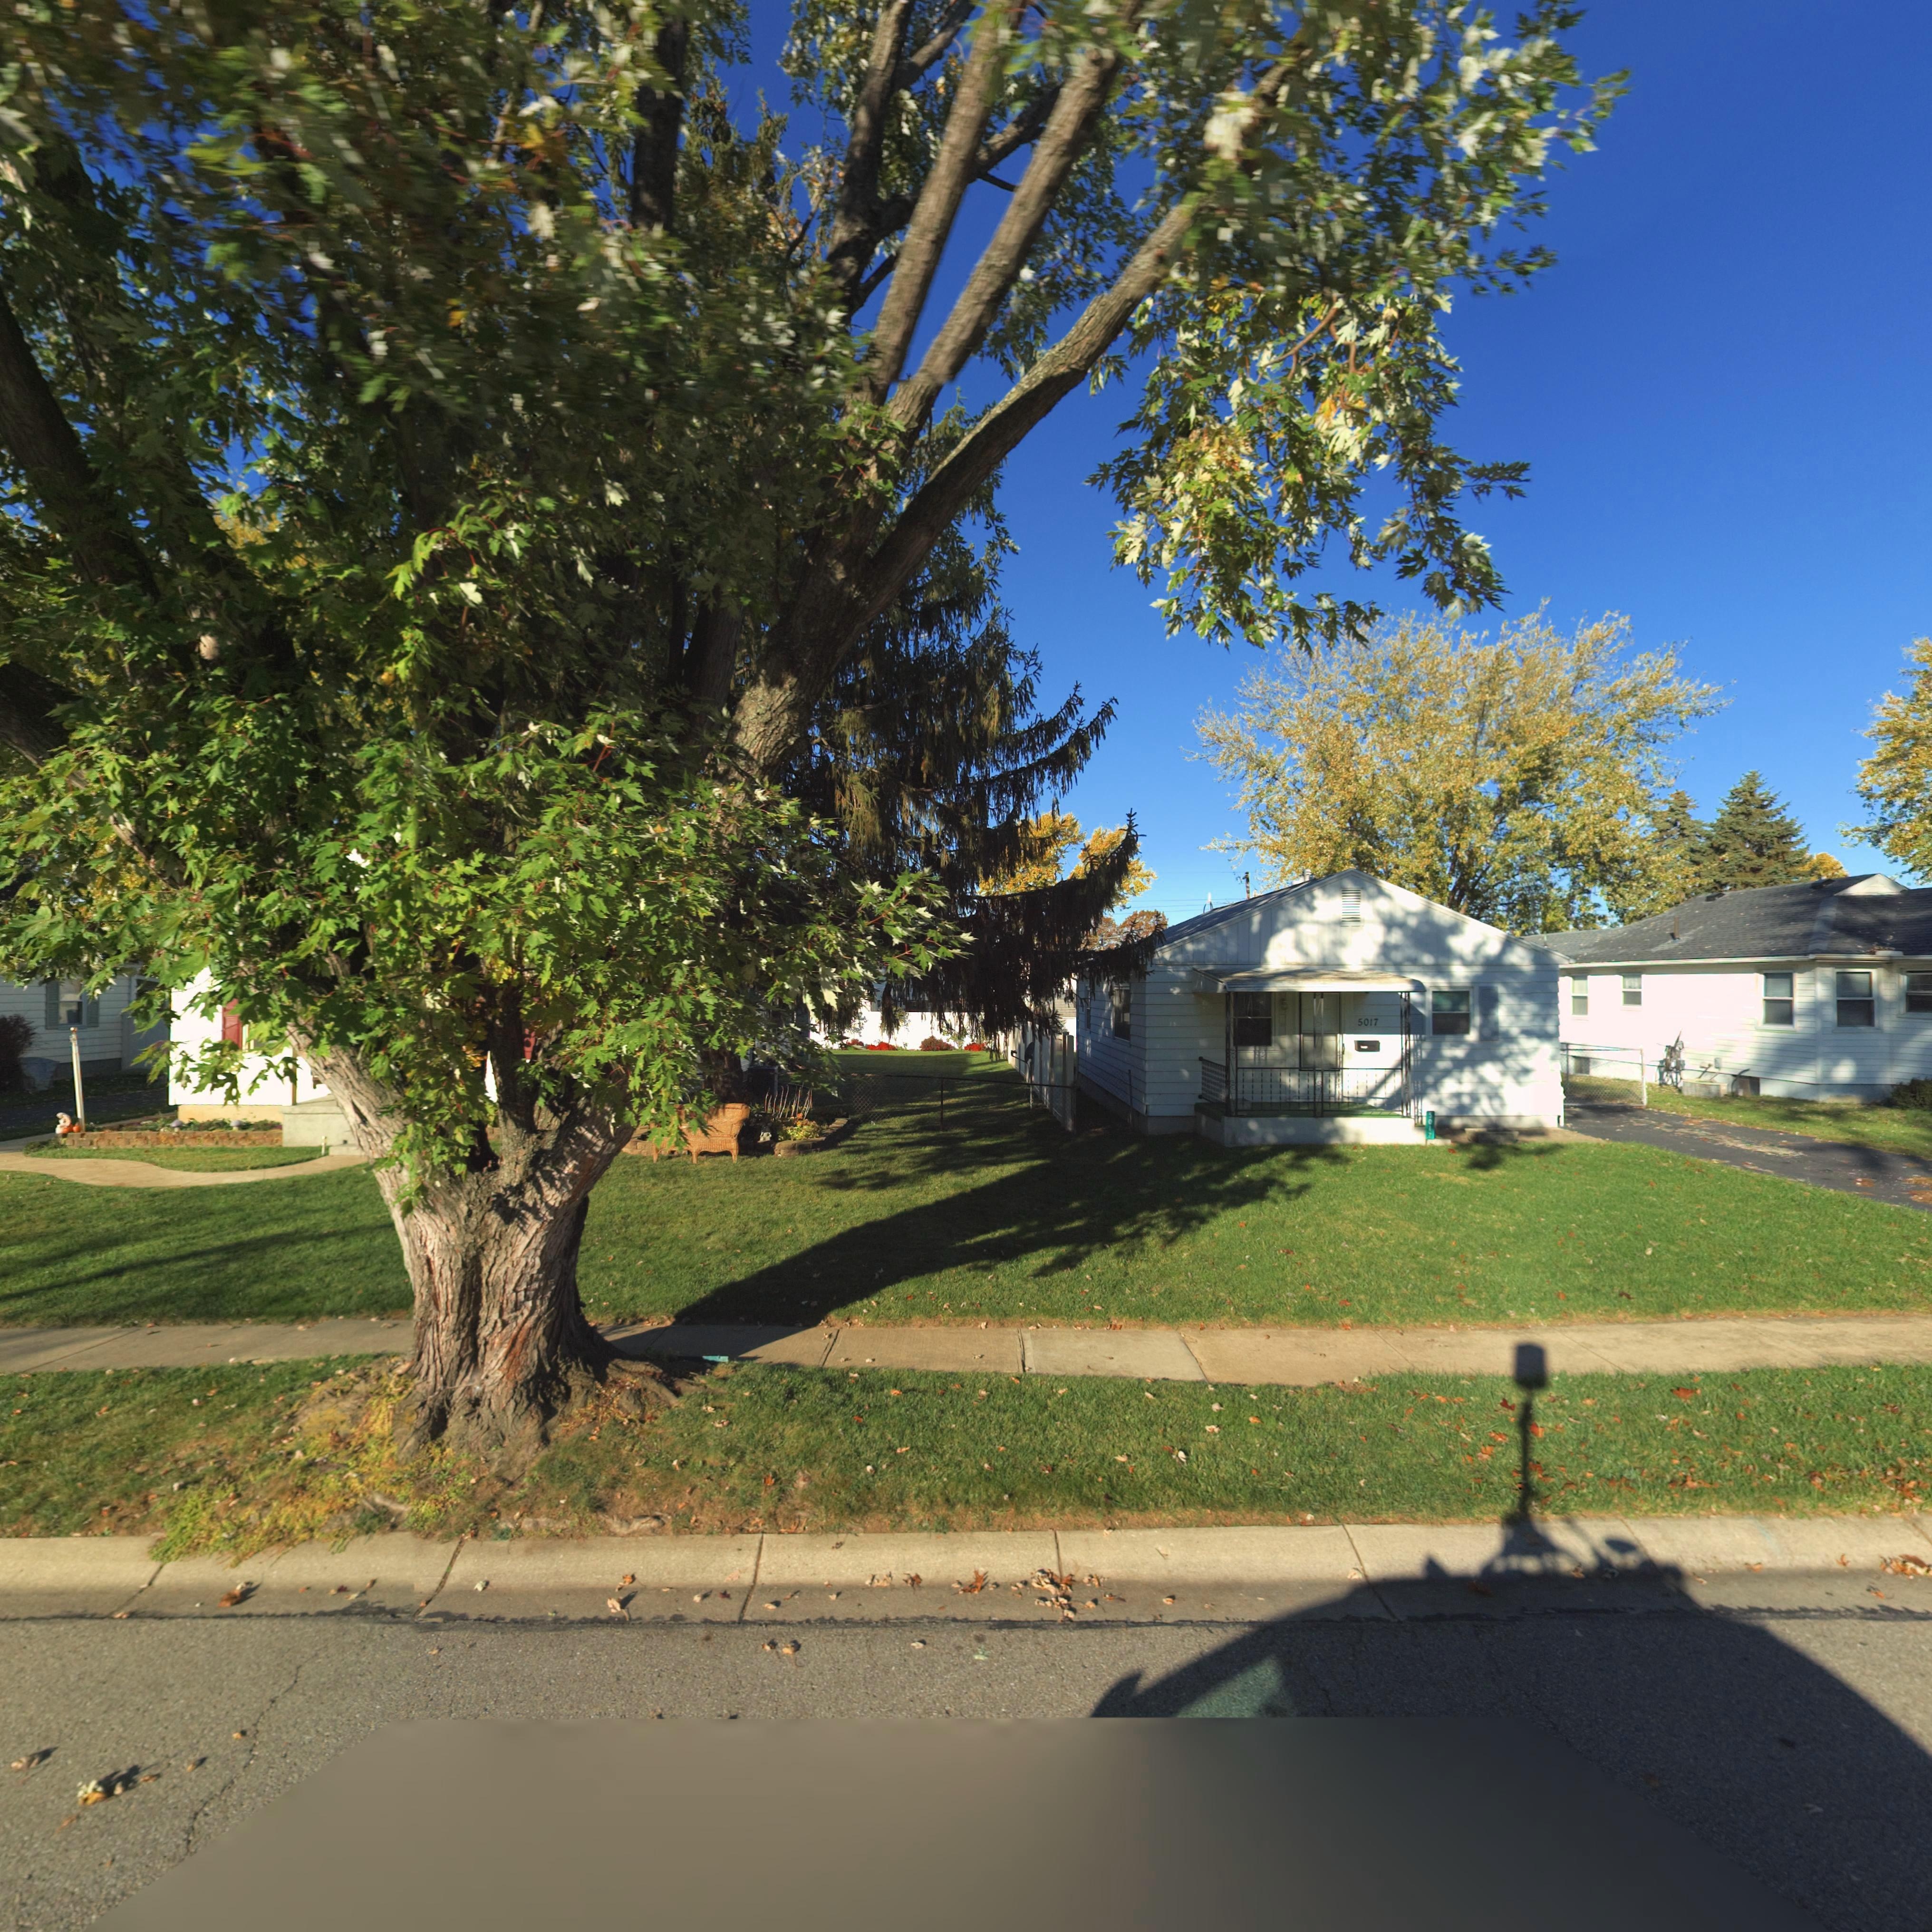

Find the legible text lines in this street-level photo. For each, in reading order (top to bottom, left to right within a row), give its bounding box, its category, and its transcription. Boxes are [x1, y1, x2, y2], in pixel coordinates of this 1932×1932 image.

[1357, 1018, 1379, 1026] StreetNumber: 5017